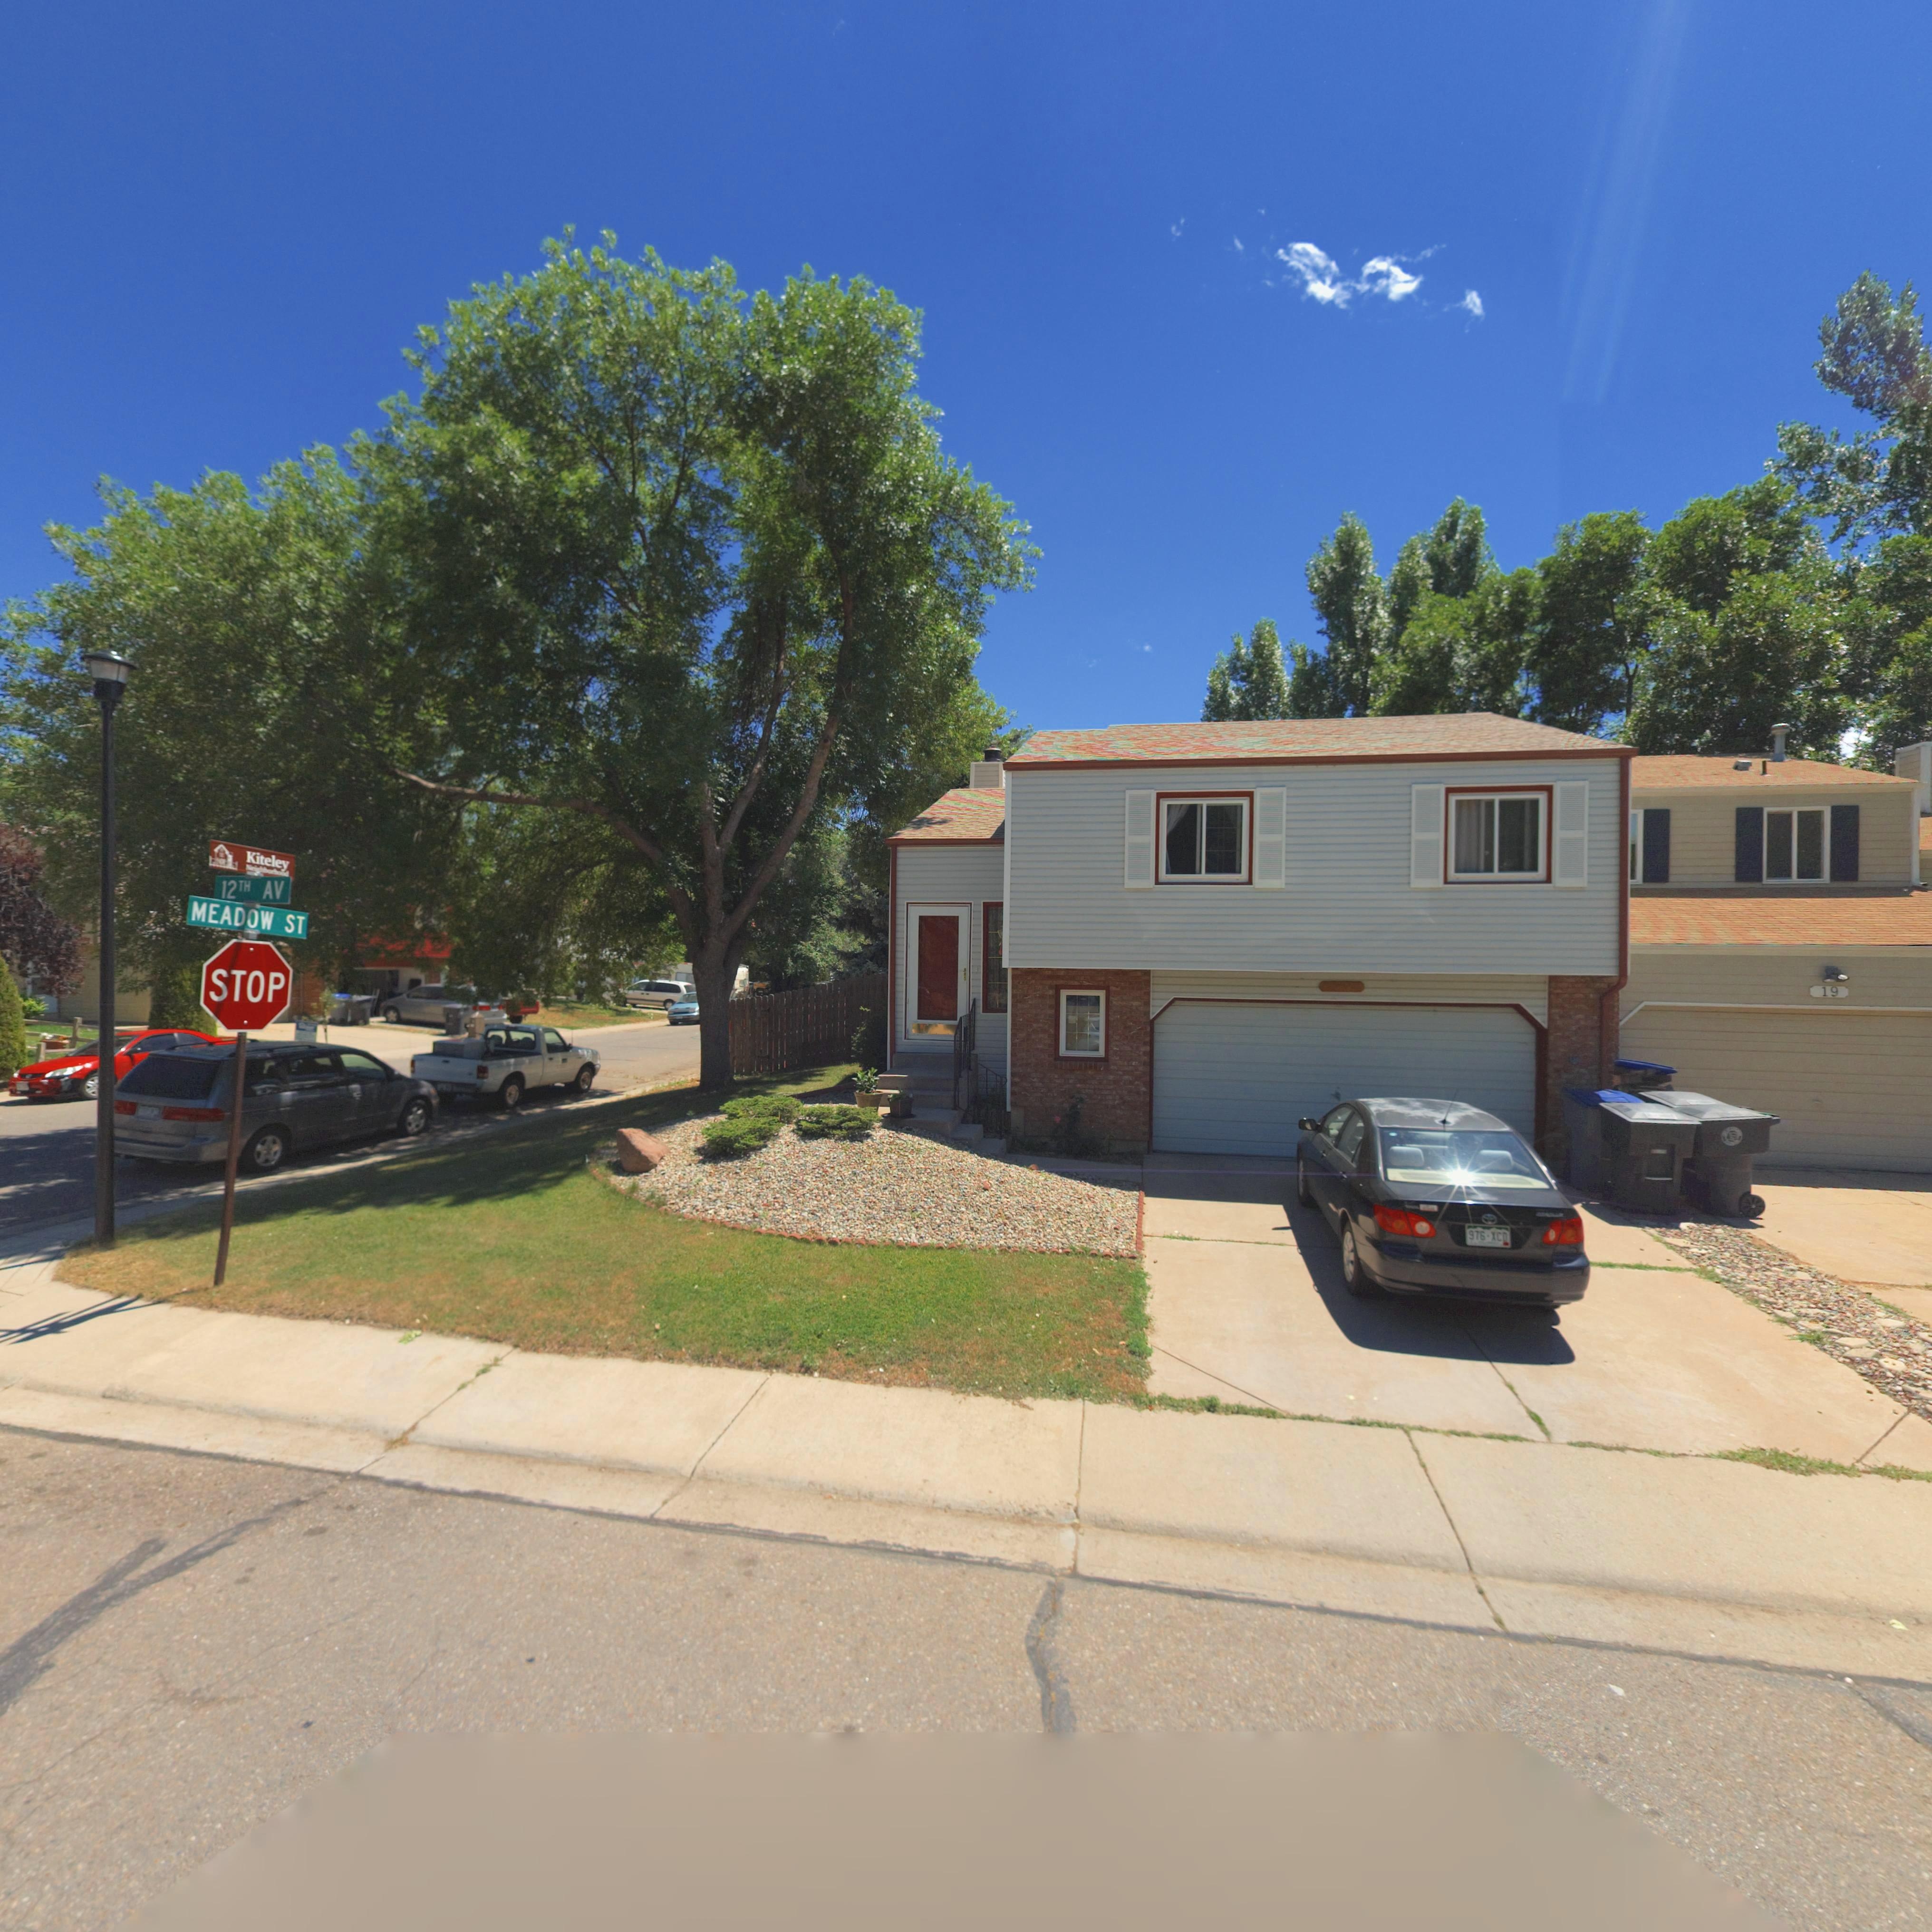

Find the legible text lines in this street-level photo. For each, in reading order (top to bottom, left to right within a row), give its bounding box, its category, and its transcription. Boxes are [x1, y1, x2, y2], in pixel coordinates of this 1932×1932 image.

[221, 879, 286, 900] StreetNumber: 12TH AV
[190, 899, 306, 935] StreetName: MEADOW ST
[1821, 985, 1839, 998] StreetNumber: 19